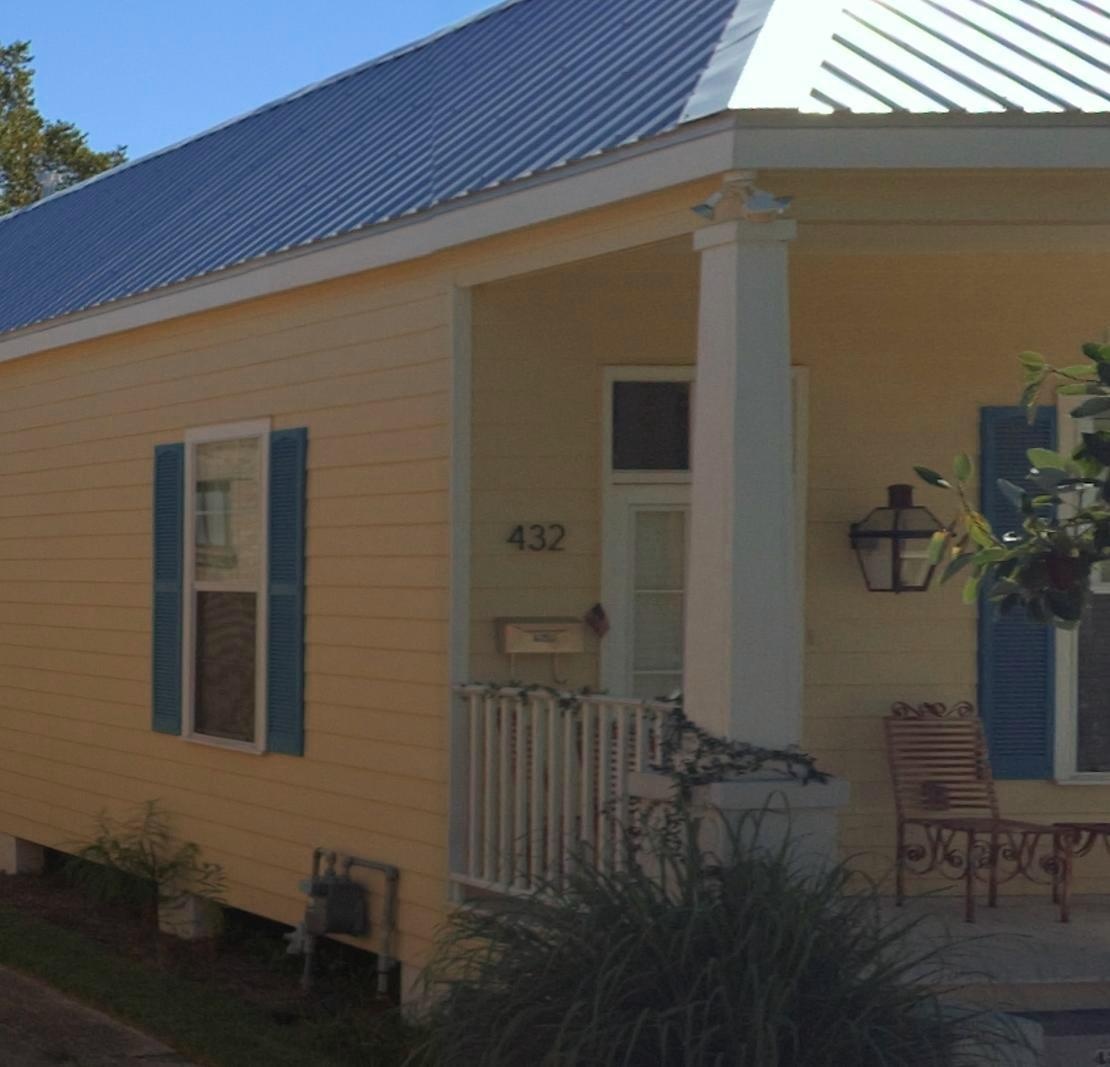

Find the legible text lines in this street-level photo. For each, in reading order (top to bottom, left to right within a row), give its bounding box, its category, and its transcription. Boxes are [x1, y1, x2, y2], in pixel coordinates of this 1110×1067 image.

[502, 519, 569, 555] StreetNumber: 432